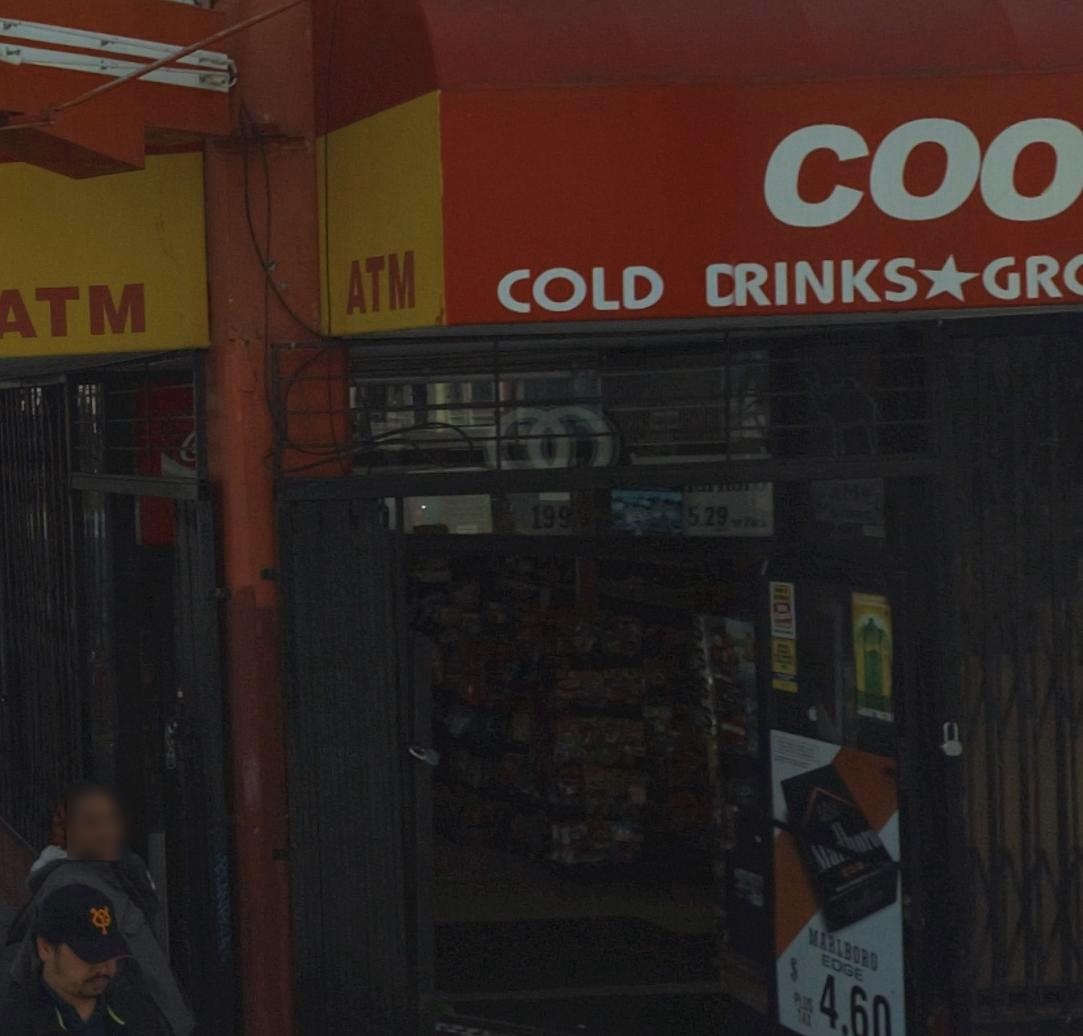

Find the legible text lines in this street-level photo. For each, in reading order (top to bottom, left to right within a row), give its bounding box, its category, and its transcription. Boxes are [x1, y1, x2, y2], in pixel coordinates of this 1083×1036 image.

[756, 109, 988, 239] BusinessName: CO
[29, 274, 152, 344] None: TM
[340, 242, 423, 322] None: ATM
[490, 249, 1068, 320] None: COLD *RINKS*GR
[527, 502, 575, 534] StreetNumber: 199
[682, 502, 733, 529] None: 5.29
[849, 826, 881, 860] None: or
[813, 967, 852, 1032] None: 4.
[816, 949, 868, 990] None: EDGE
[803, 917, 883, 979] None: MARLBORO